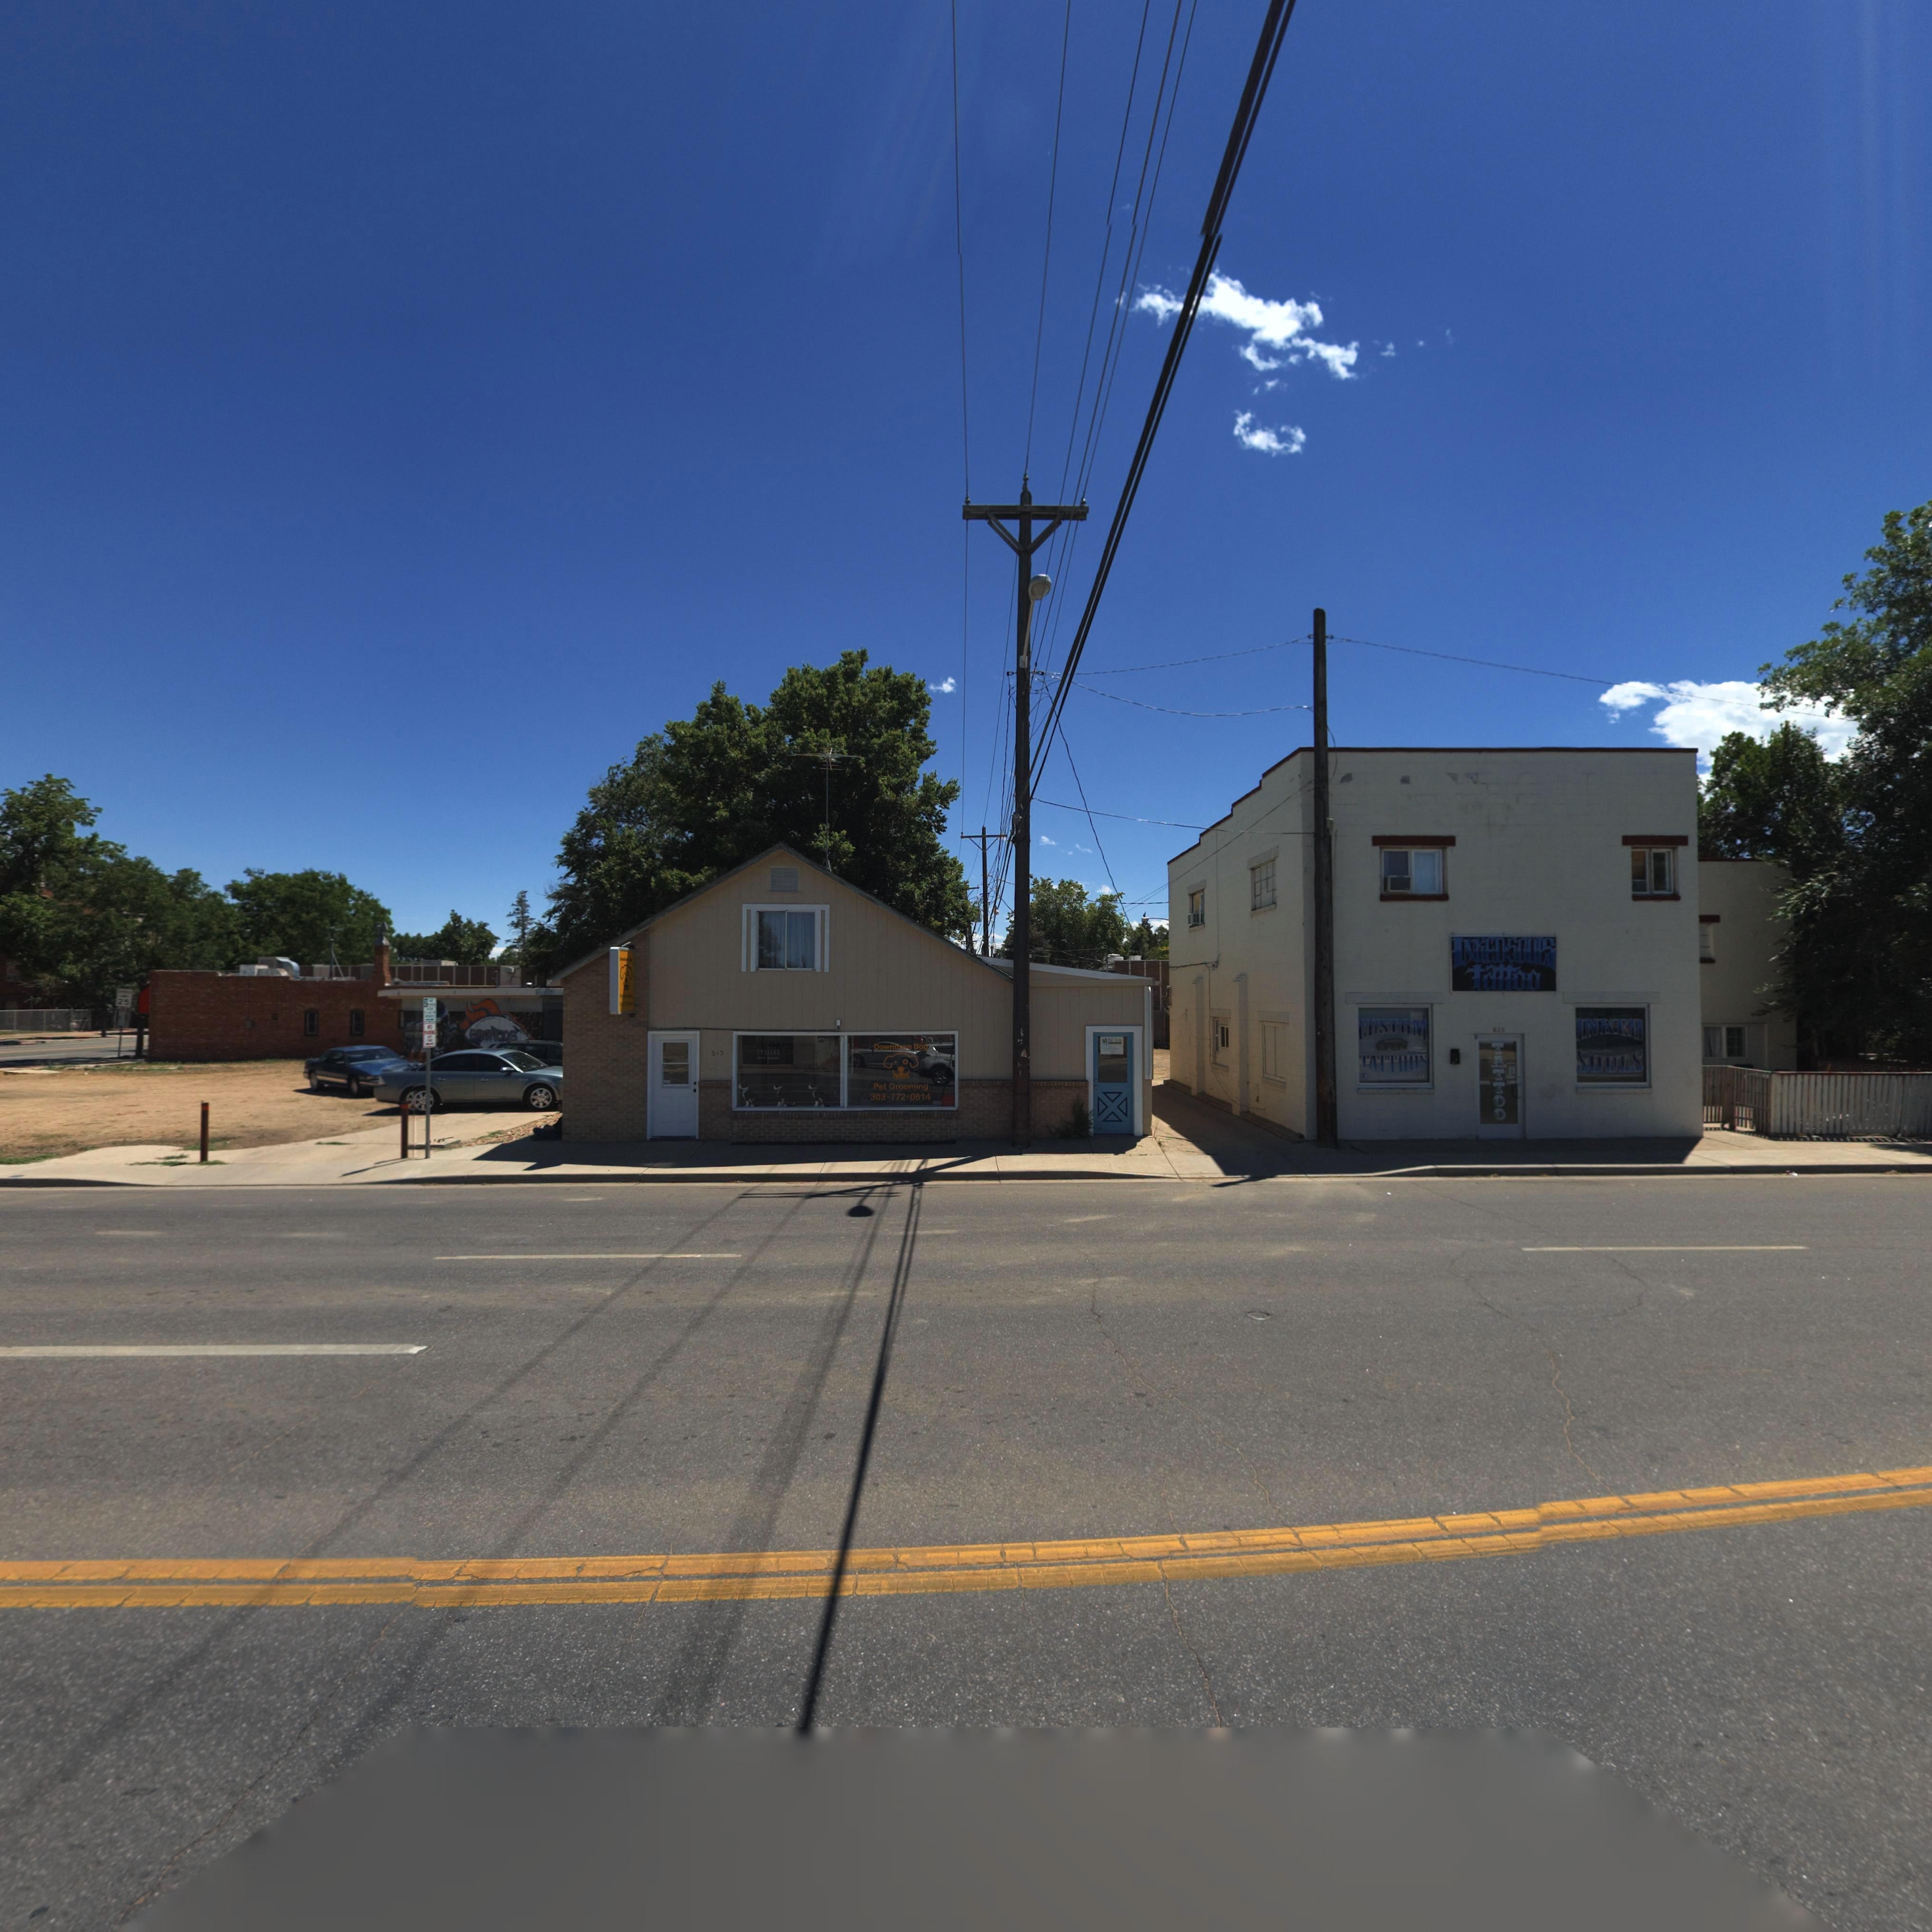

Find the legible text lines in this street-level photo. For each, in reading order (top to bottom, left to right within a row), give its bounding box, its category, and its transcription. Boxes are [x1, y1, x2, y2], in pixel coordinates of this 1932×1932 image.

[1451, 937, 1556, 972] BusinessName: INKEDSOULS
[619, 956, 633, 963] BusinessName: Do****** ***
[1464, 963, 1542, 991] BusinessName: tattoo
[619, 993, 633, 999] BusinessName: P** ********
[1491, 1026, 1505, 1034] StreetNumber: 625
[1576, 1018, 1643, 1042] BusinessName: INKED
[873, 1043, 928, 1052] BusinessName: Downtown Dog
[711, 1049, 724, 1056] StreetNumber: 615
[1576, 1048, 1644, 1073] BusinessName: SOULS
[873, 1082, 928, 1092] BusinessName: Pet Grooming